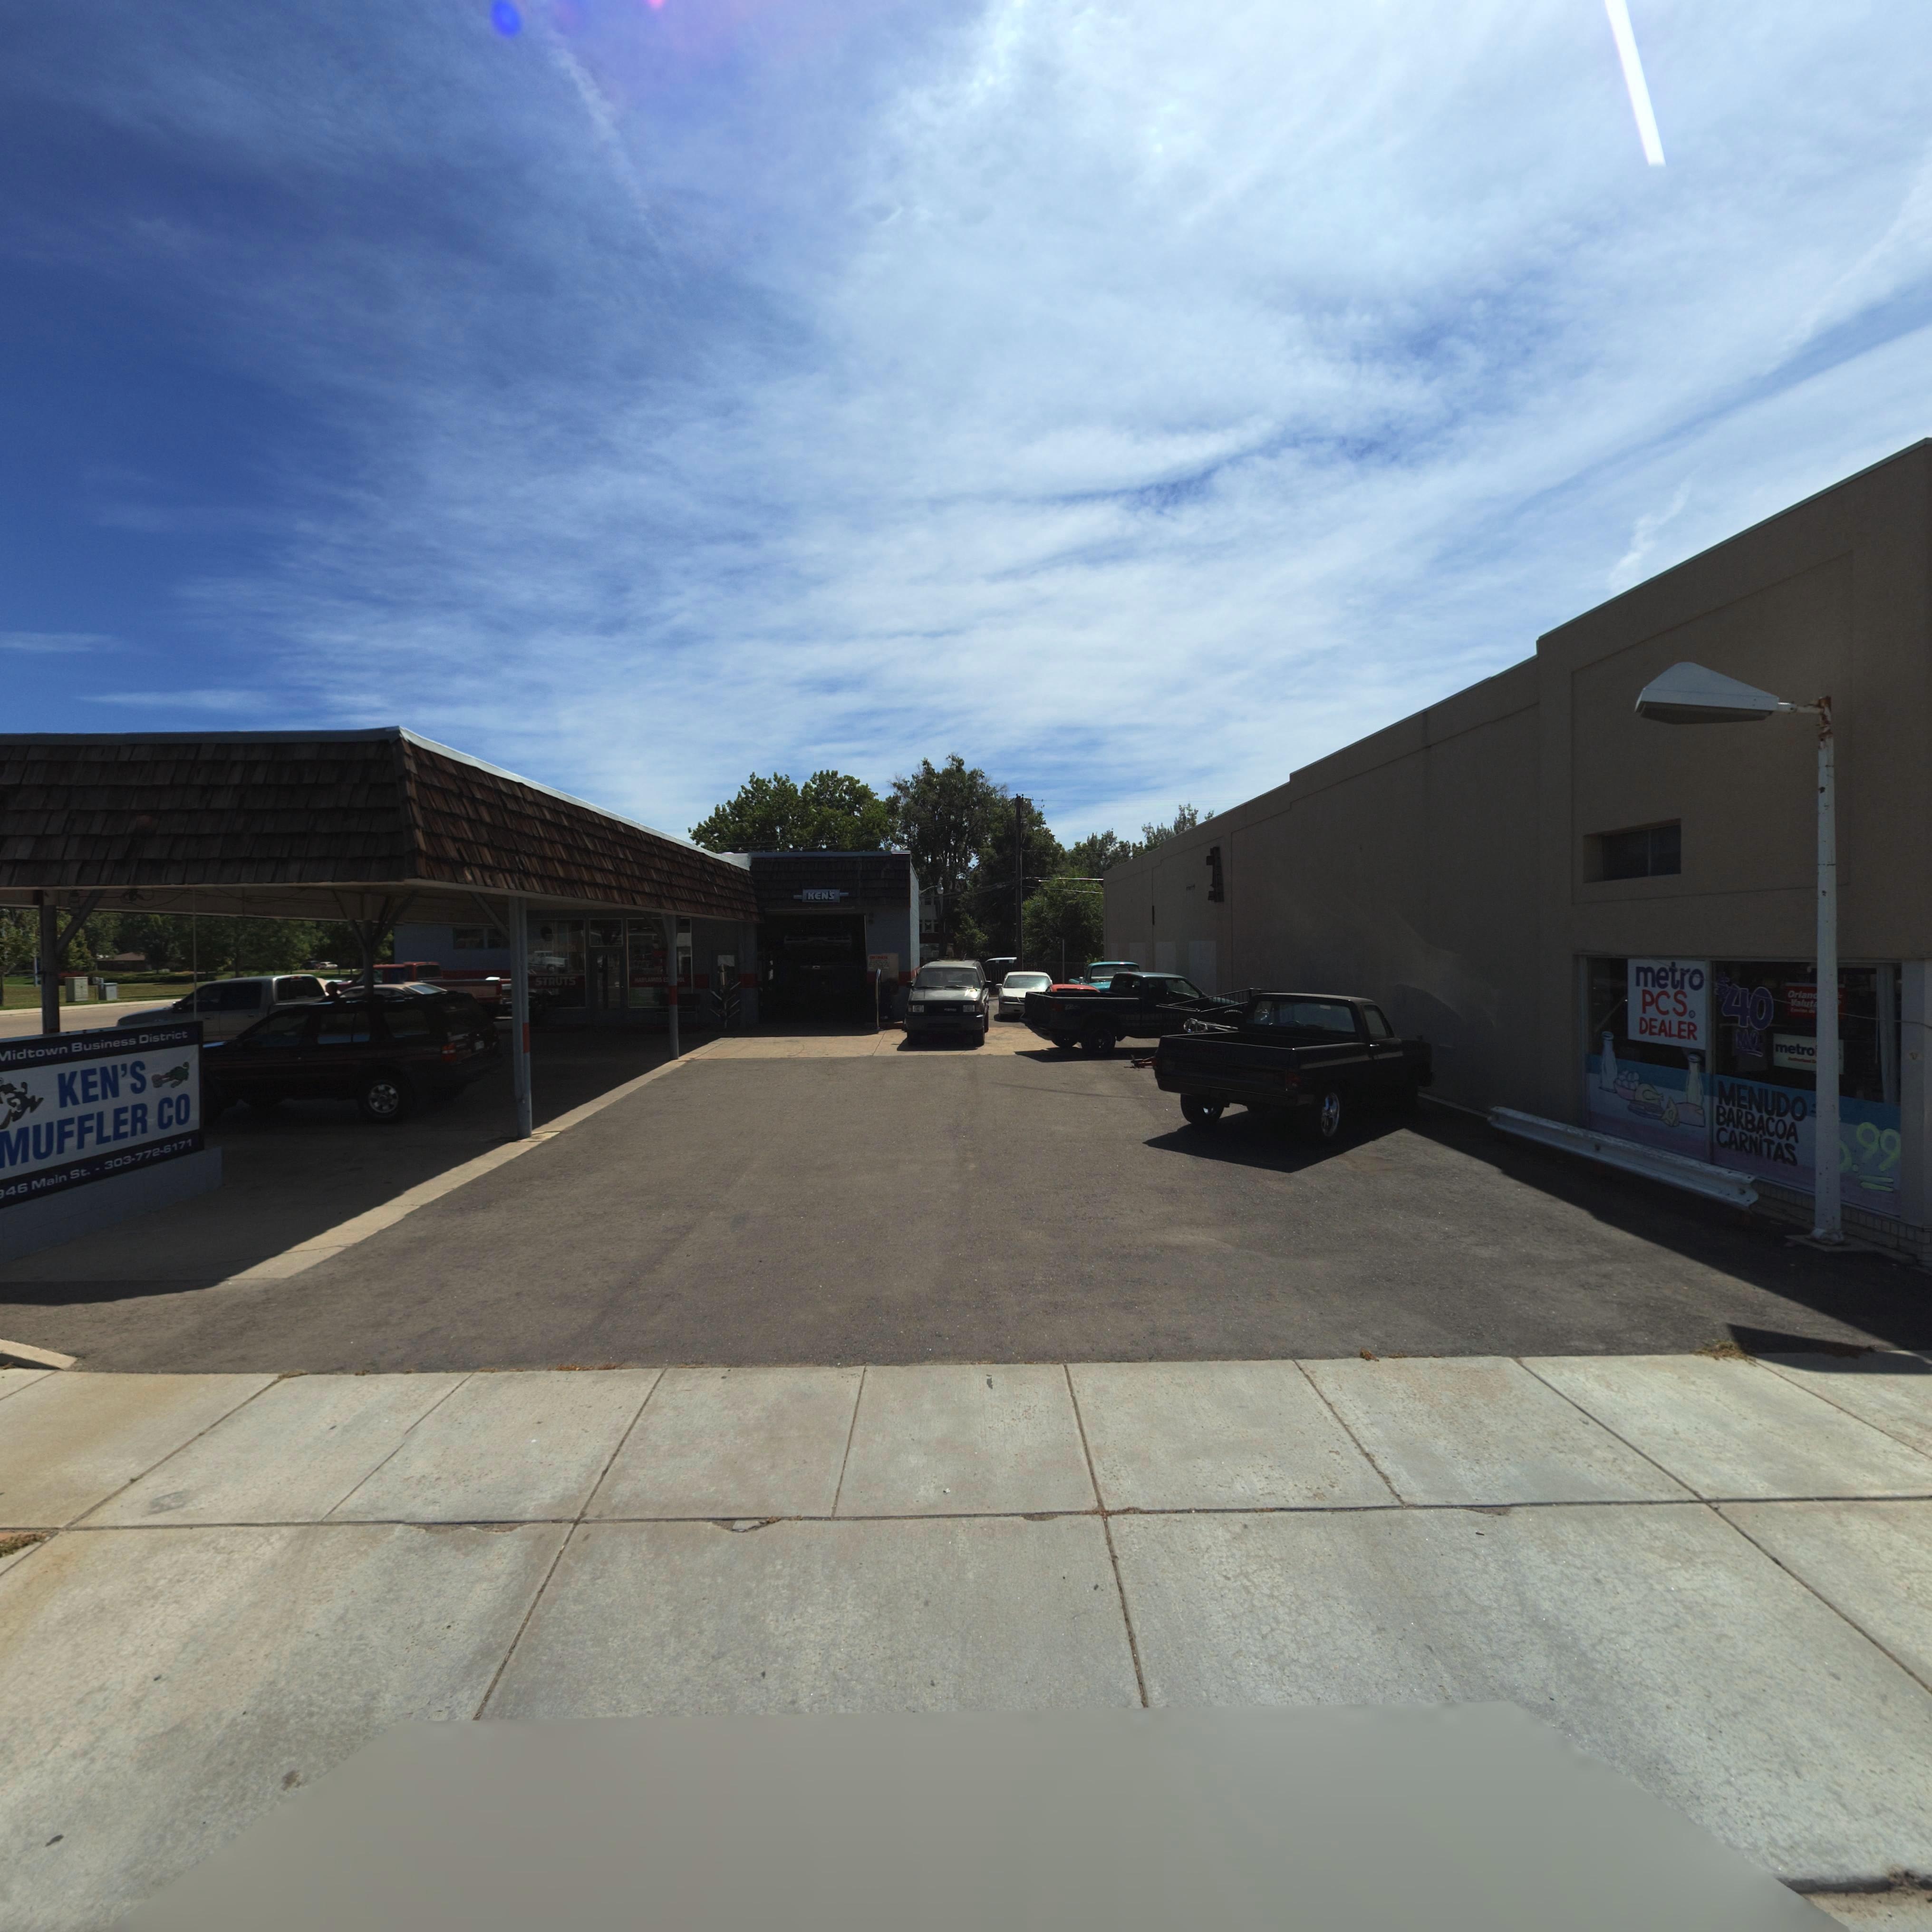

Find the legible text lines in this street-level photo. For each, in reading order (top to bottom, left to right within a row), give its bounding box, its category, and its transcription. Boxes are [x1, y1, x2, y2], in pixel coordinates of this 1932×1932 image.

[807, 890, 835, 899] BusinessName: KEN'S
[56, 1059, 147, 1109] BusinessName: KEN'S
[1, 1092, 190, 1169] BusinessName: MUFFLER CO
[5, 1181, 28, 1195] StreetNumber: 46
[31, 1168, 91, 1190] StreetName: Main St.